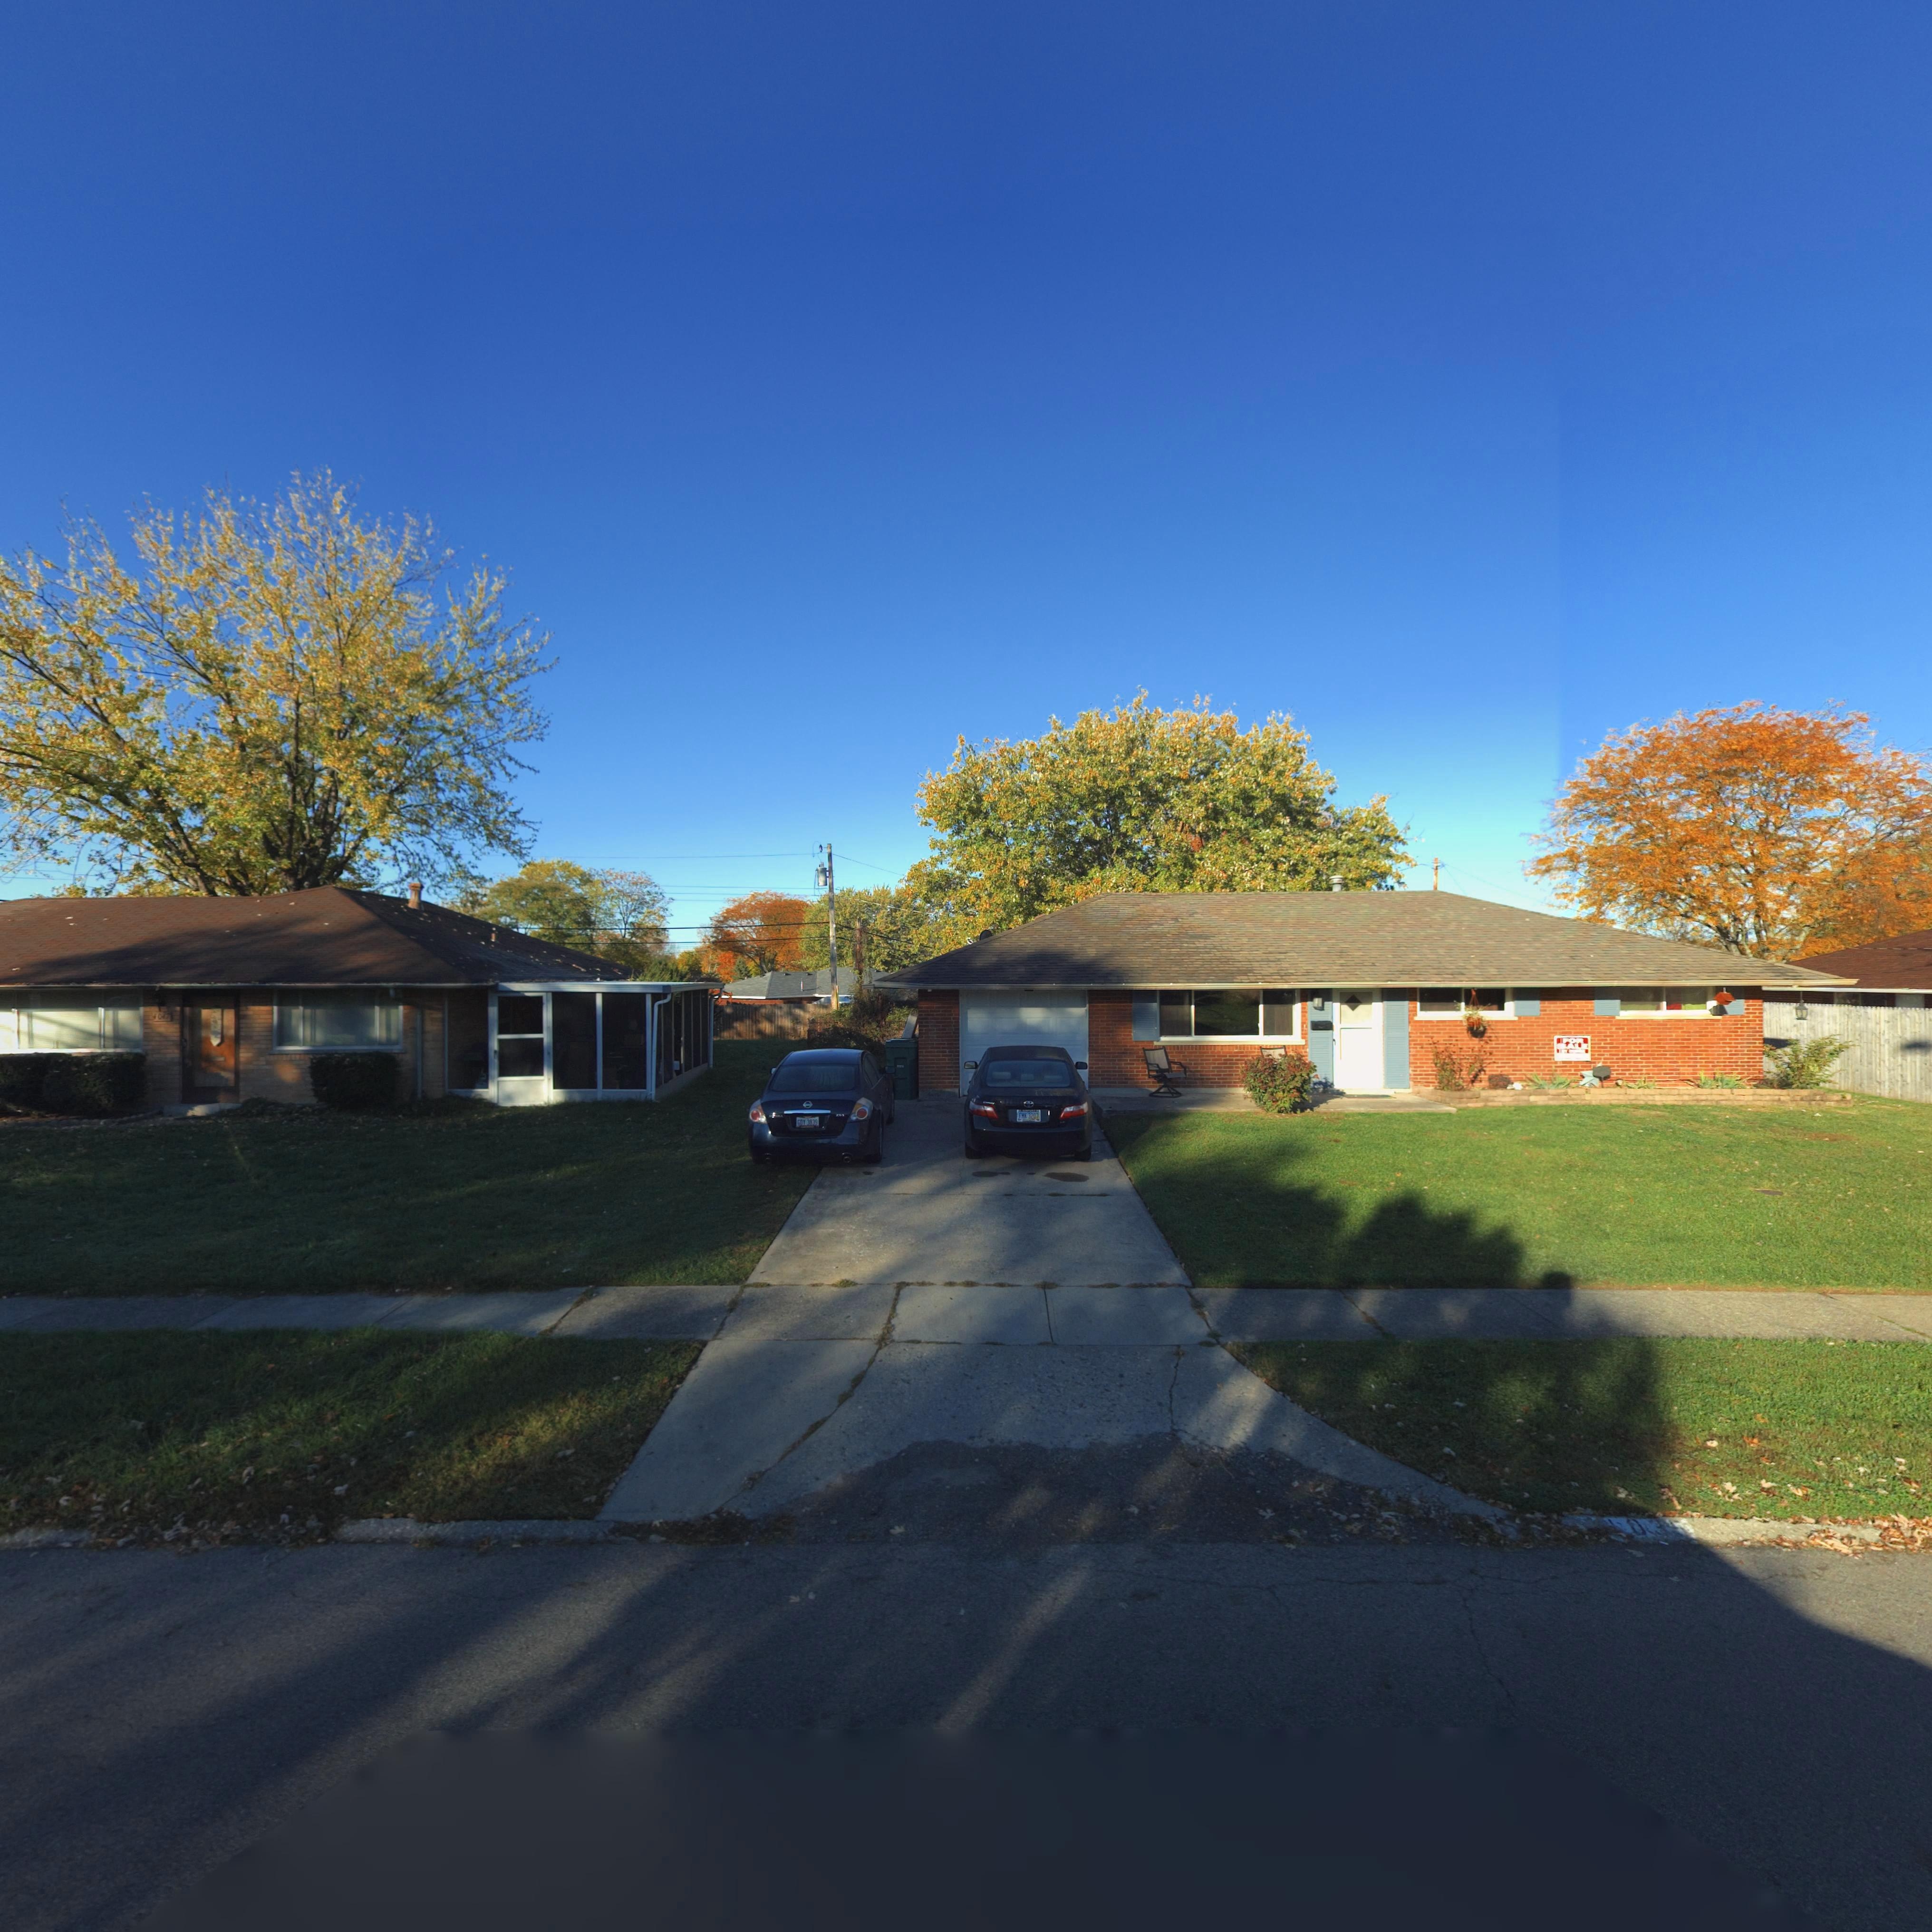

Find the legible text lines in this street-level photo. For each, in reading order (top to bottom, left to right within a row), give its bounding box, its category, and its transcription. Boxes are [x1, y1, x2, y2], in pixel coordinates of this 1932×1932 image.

[152, 1012, 170, 1020] StreetNumber: 4047